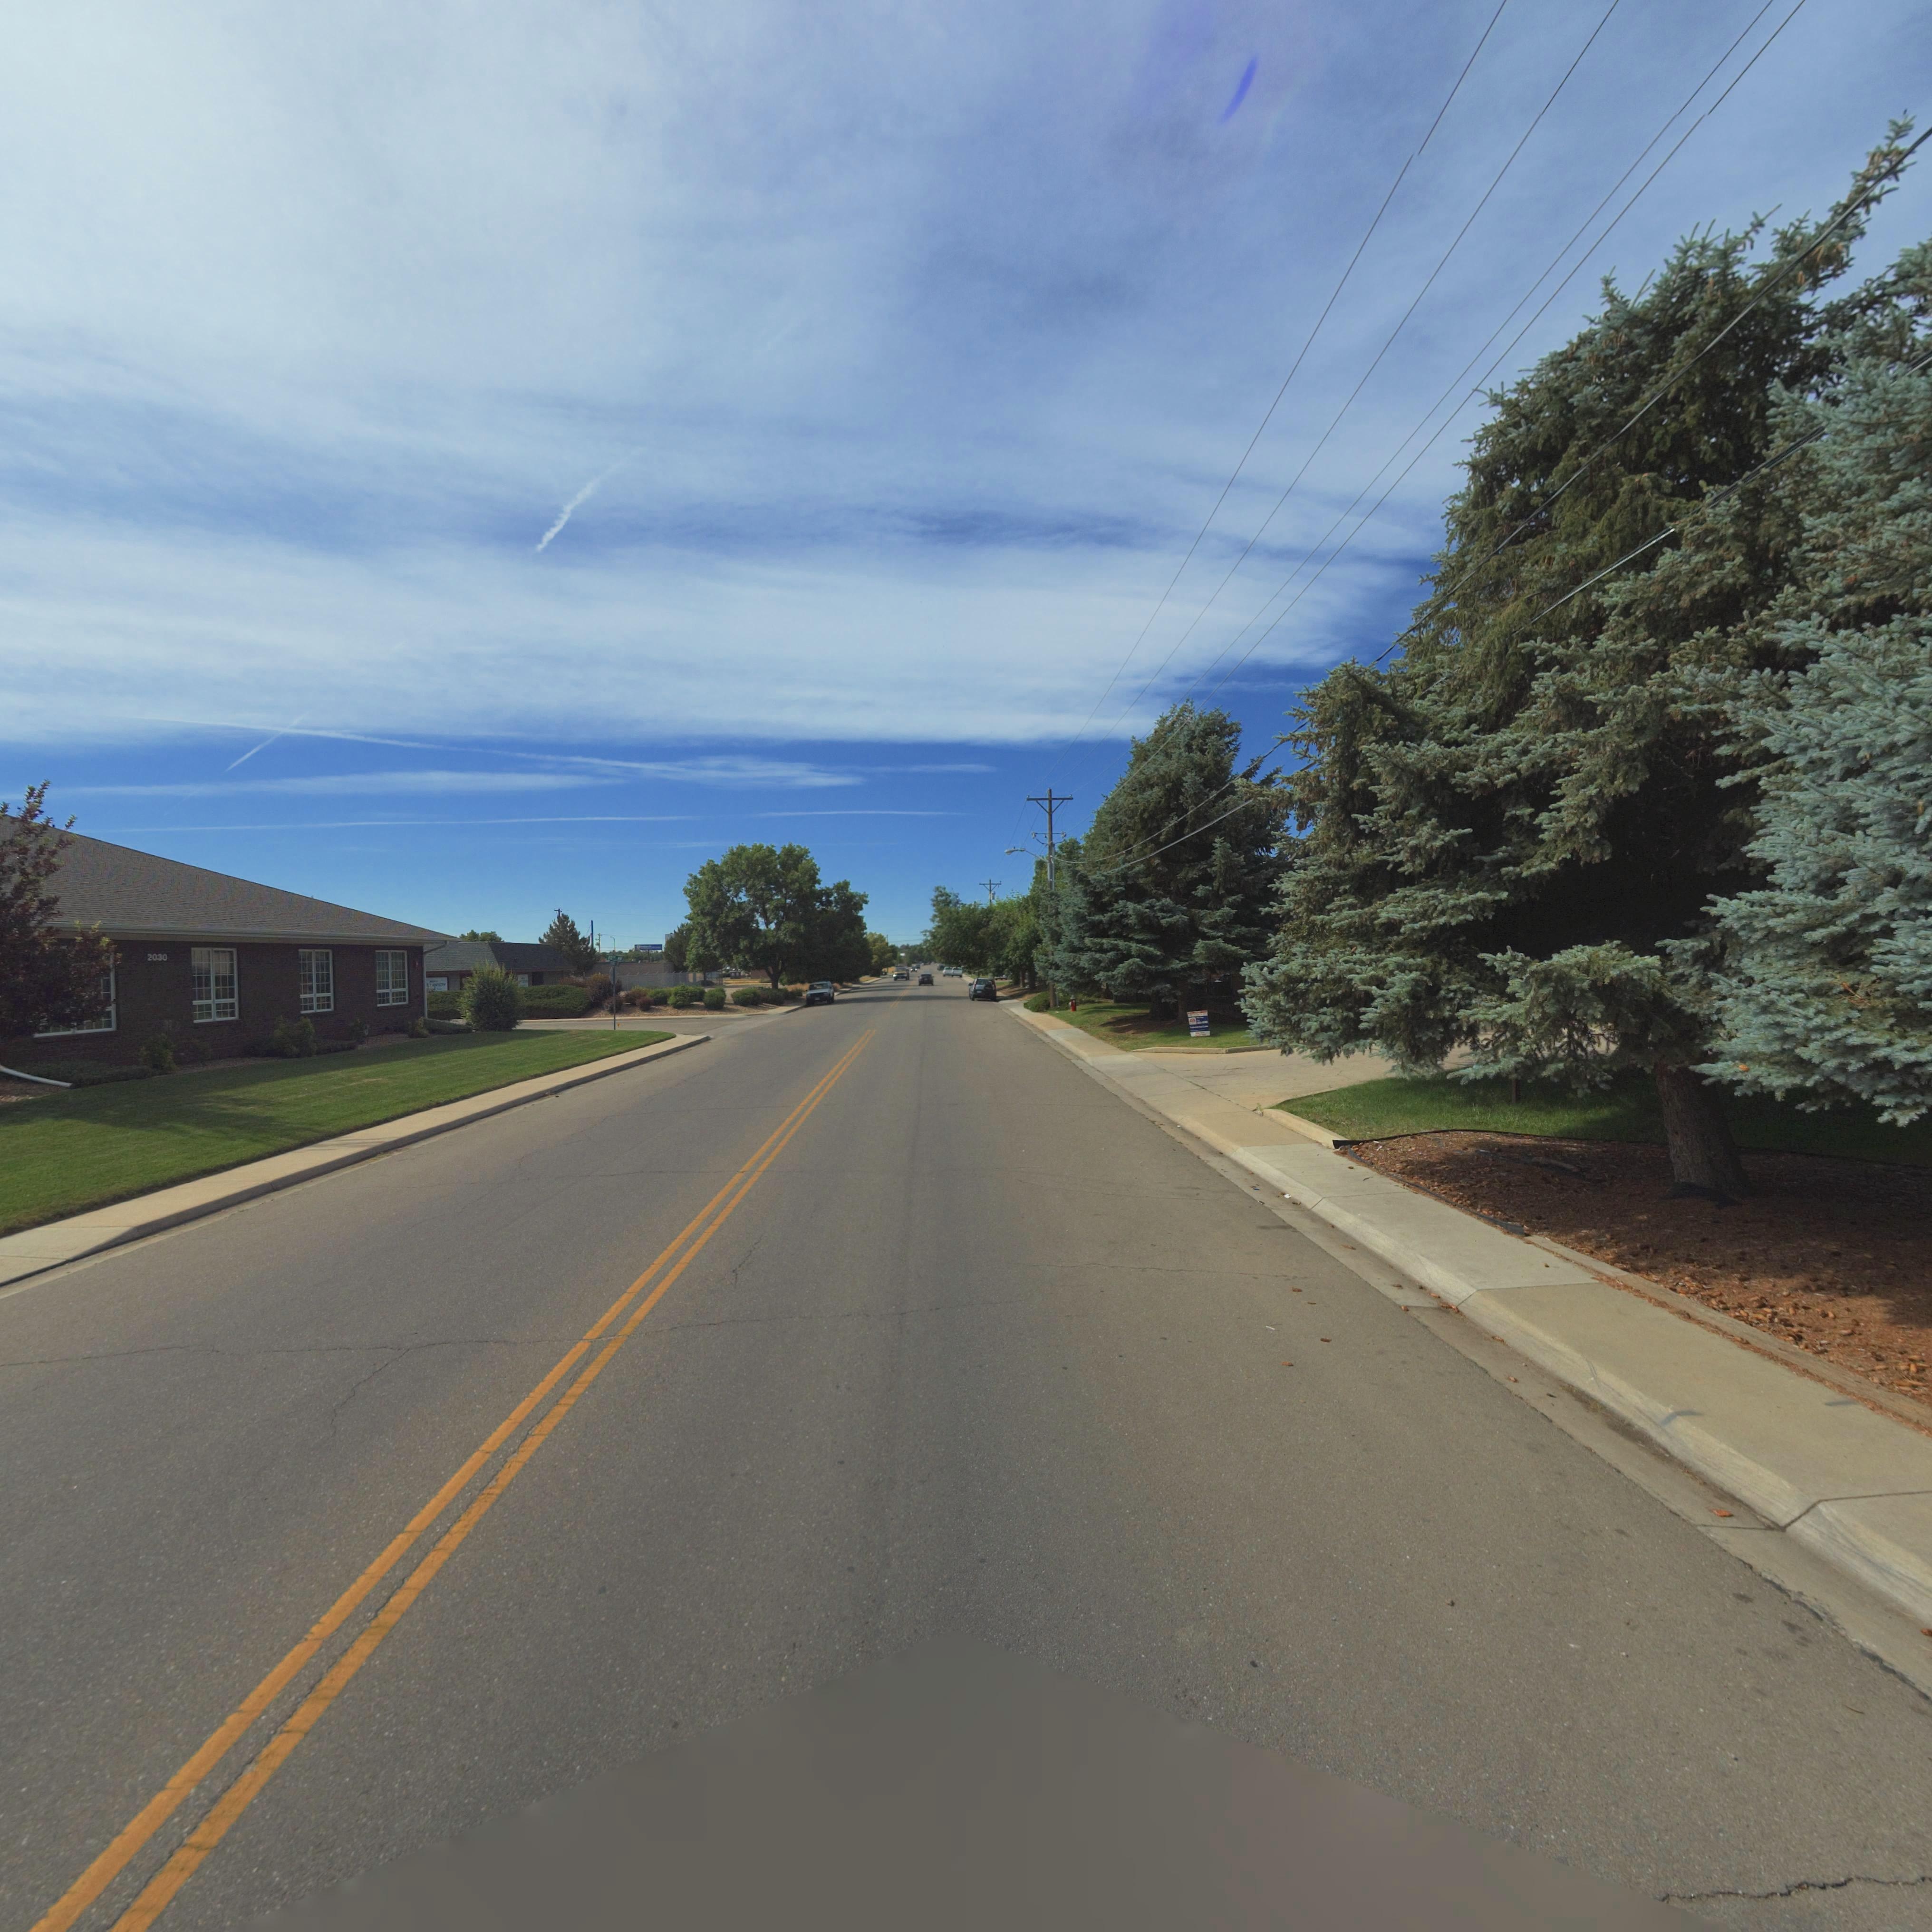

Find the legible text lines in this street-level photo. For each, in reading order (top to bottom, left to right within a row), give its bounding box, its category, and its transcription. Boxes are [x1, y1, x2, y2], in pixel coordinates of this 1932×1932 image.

[146, 953, 168, 961] StreetNumber: 2030
[607, 955, 623, 961] StreetName: 20** AV